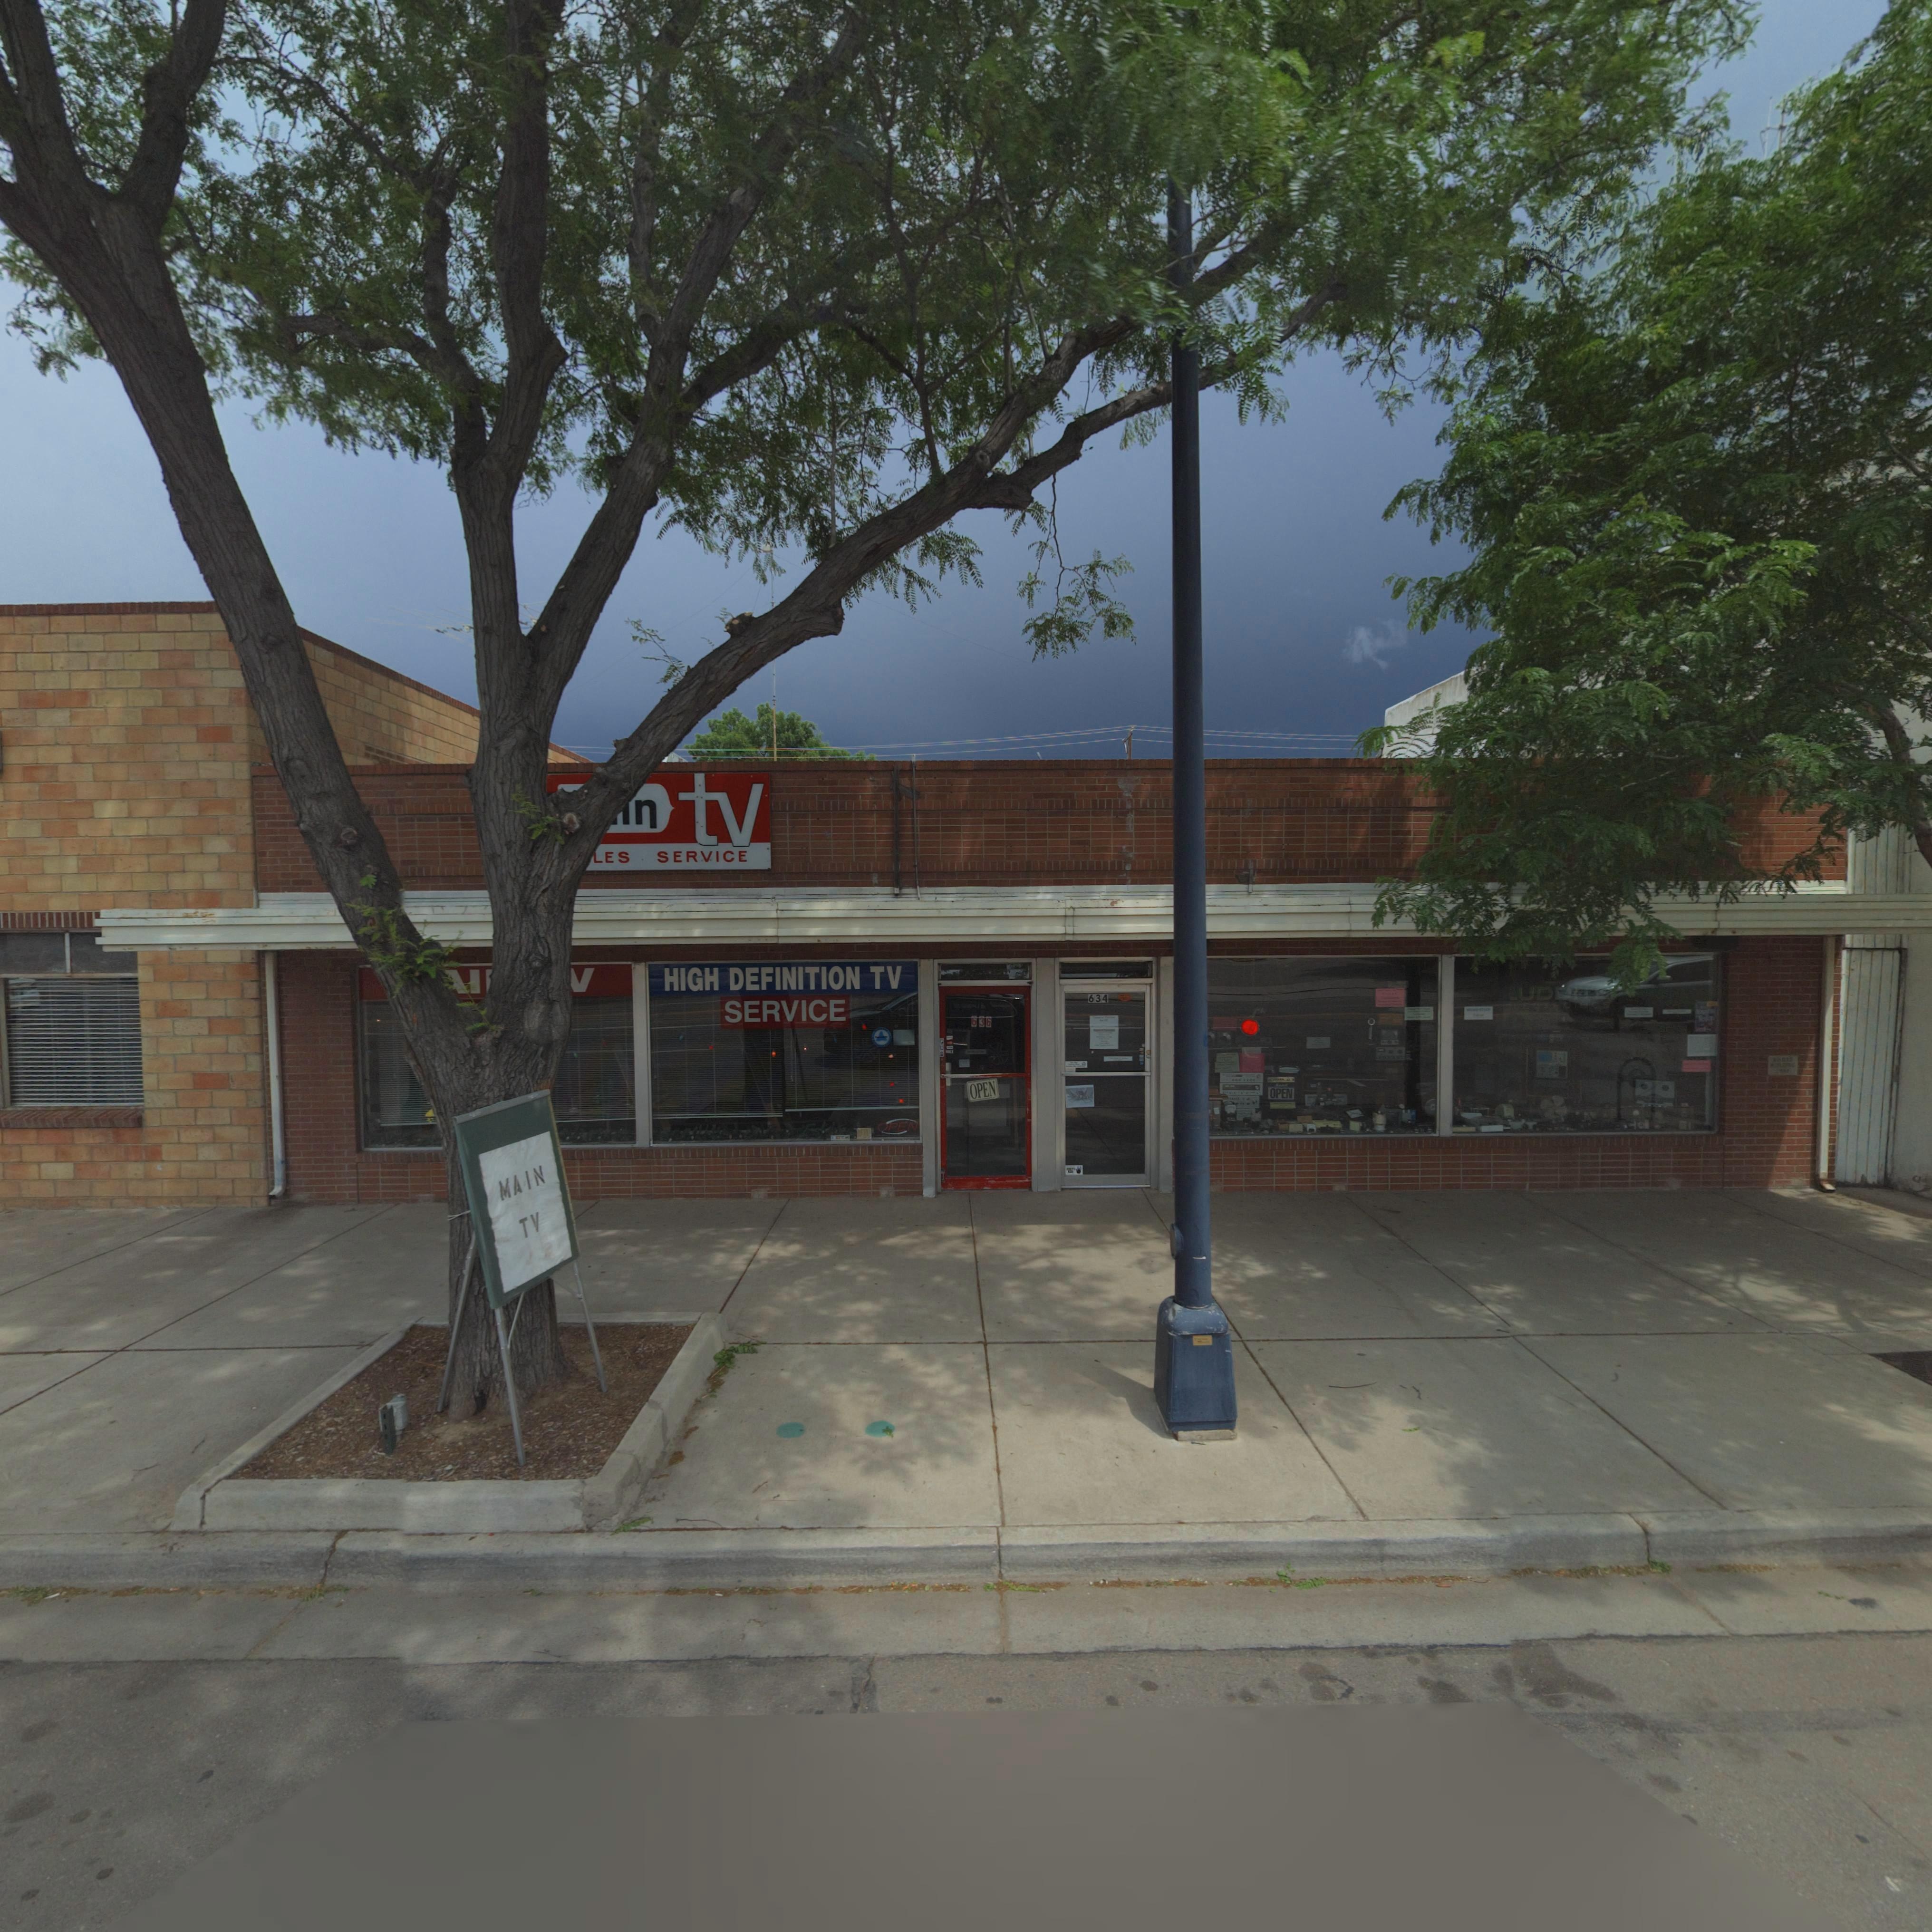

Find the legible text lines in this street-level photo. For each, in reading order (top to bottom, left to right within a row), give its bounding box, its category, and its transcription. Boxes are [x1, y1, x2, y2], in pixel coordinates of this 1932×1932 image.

[634, 798, 657, 829] BusinessName: n
[677, 772, 767, 848] BusinessName: tv
[444, 967, 597, 994] BusinessName: *I* *V
[1088, 993, 1108, 1003] StreetNumber: 634
[1506, 982, 1608, 1002] BusinessName: LUDDITE
[1507, 1001, 1611, 1012] BusinessName: ***CTRONICS
[971, 1016, 991, 1027] StreetNumber: 636
[496, 1164, 545, 1202] BusinessName: MAIN
[517, 1210, 540, 1240] BusinessName: TV